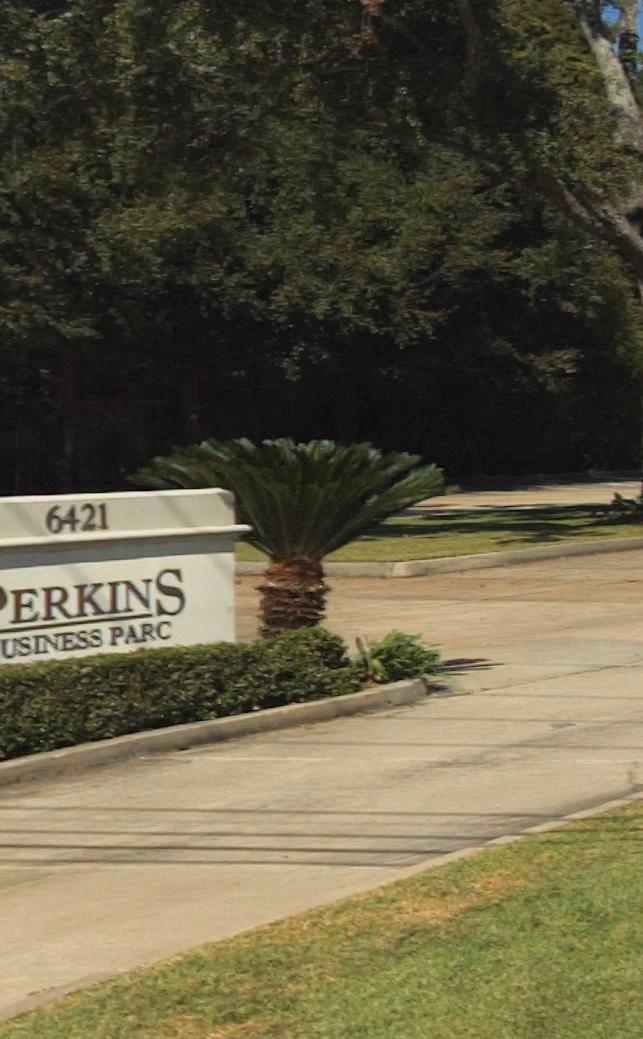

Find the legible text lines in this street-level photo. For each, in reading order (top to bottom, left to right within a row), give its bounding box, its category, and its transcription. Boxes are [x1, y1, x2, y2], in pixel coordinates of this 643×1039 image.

[42, 498, 112, 538] StreetNumber: 6421
[6, 564, 189, 632] BusinessName: ERKINS
[0, 618, 175, 663] BusinessName: USINESS PARC